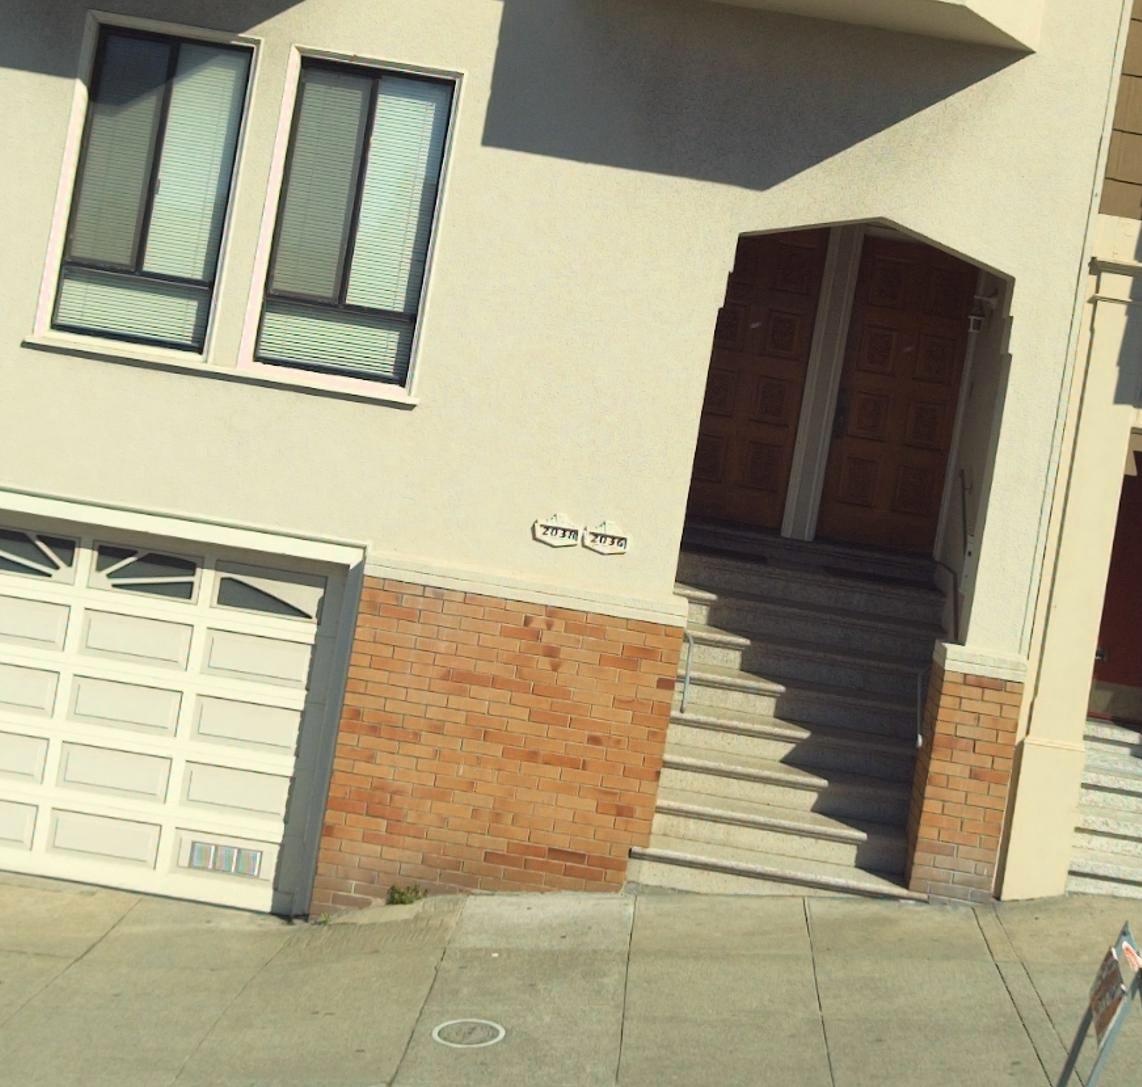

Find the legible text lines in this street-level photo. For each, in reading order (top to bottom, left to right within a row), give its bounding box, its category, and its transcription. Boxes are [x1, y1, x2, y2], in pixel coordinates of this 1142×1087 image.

[540, 525, 577, 542] StreetNumber: 2038
[589, 531, 626, 550] StreetNumber: 2036